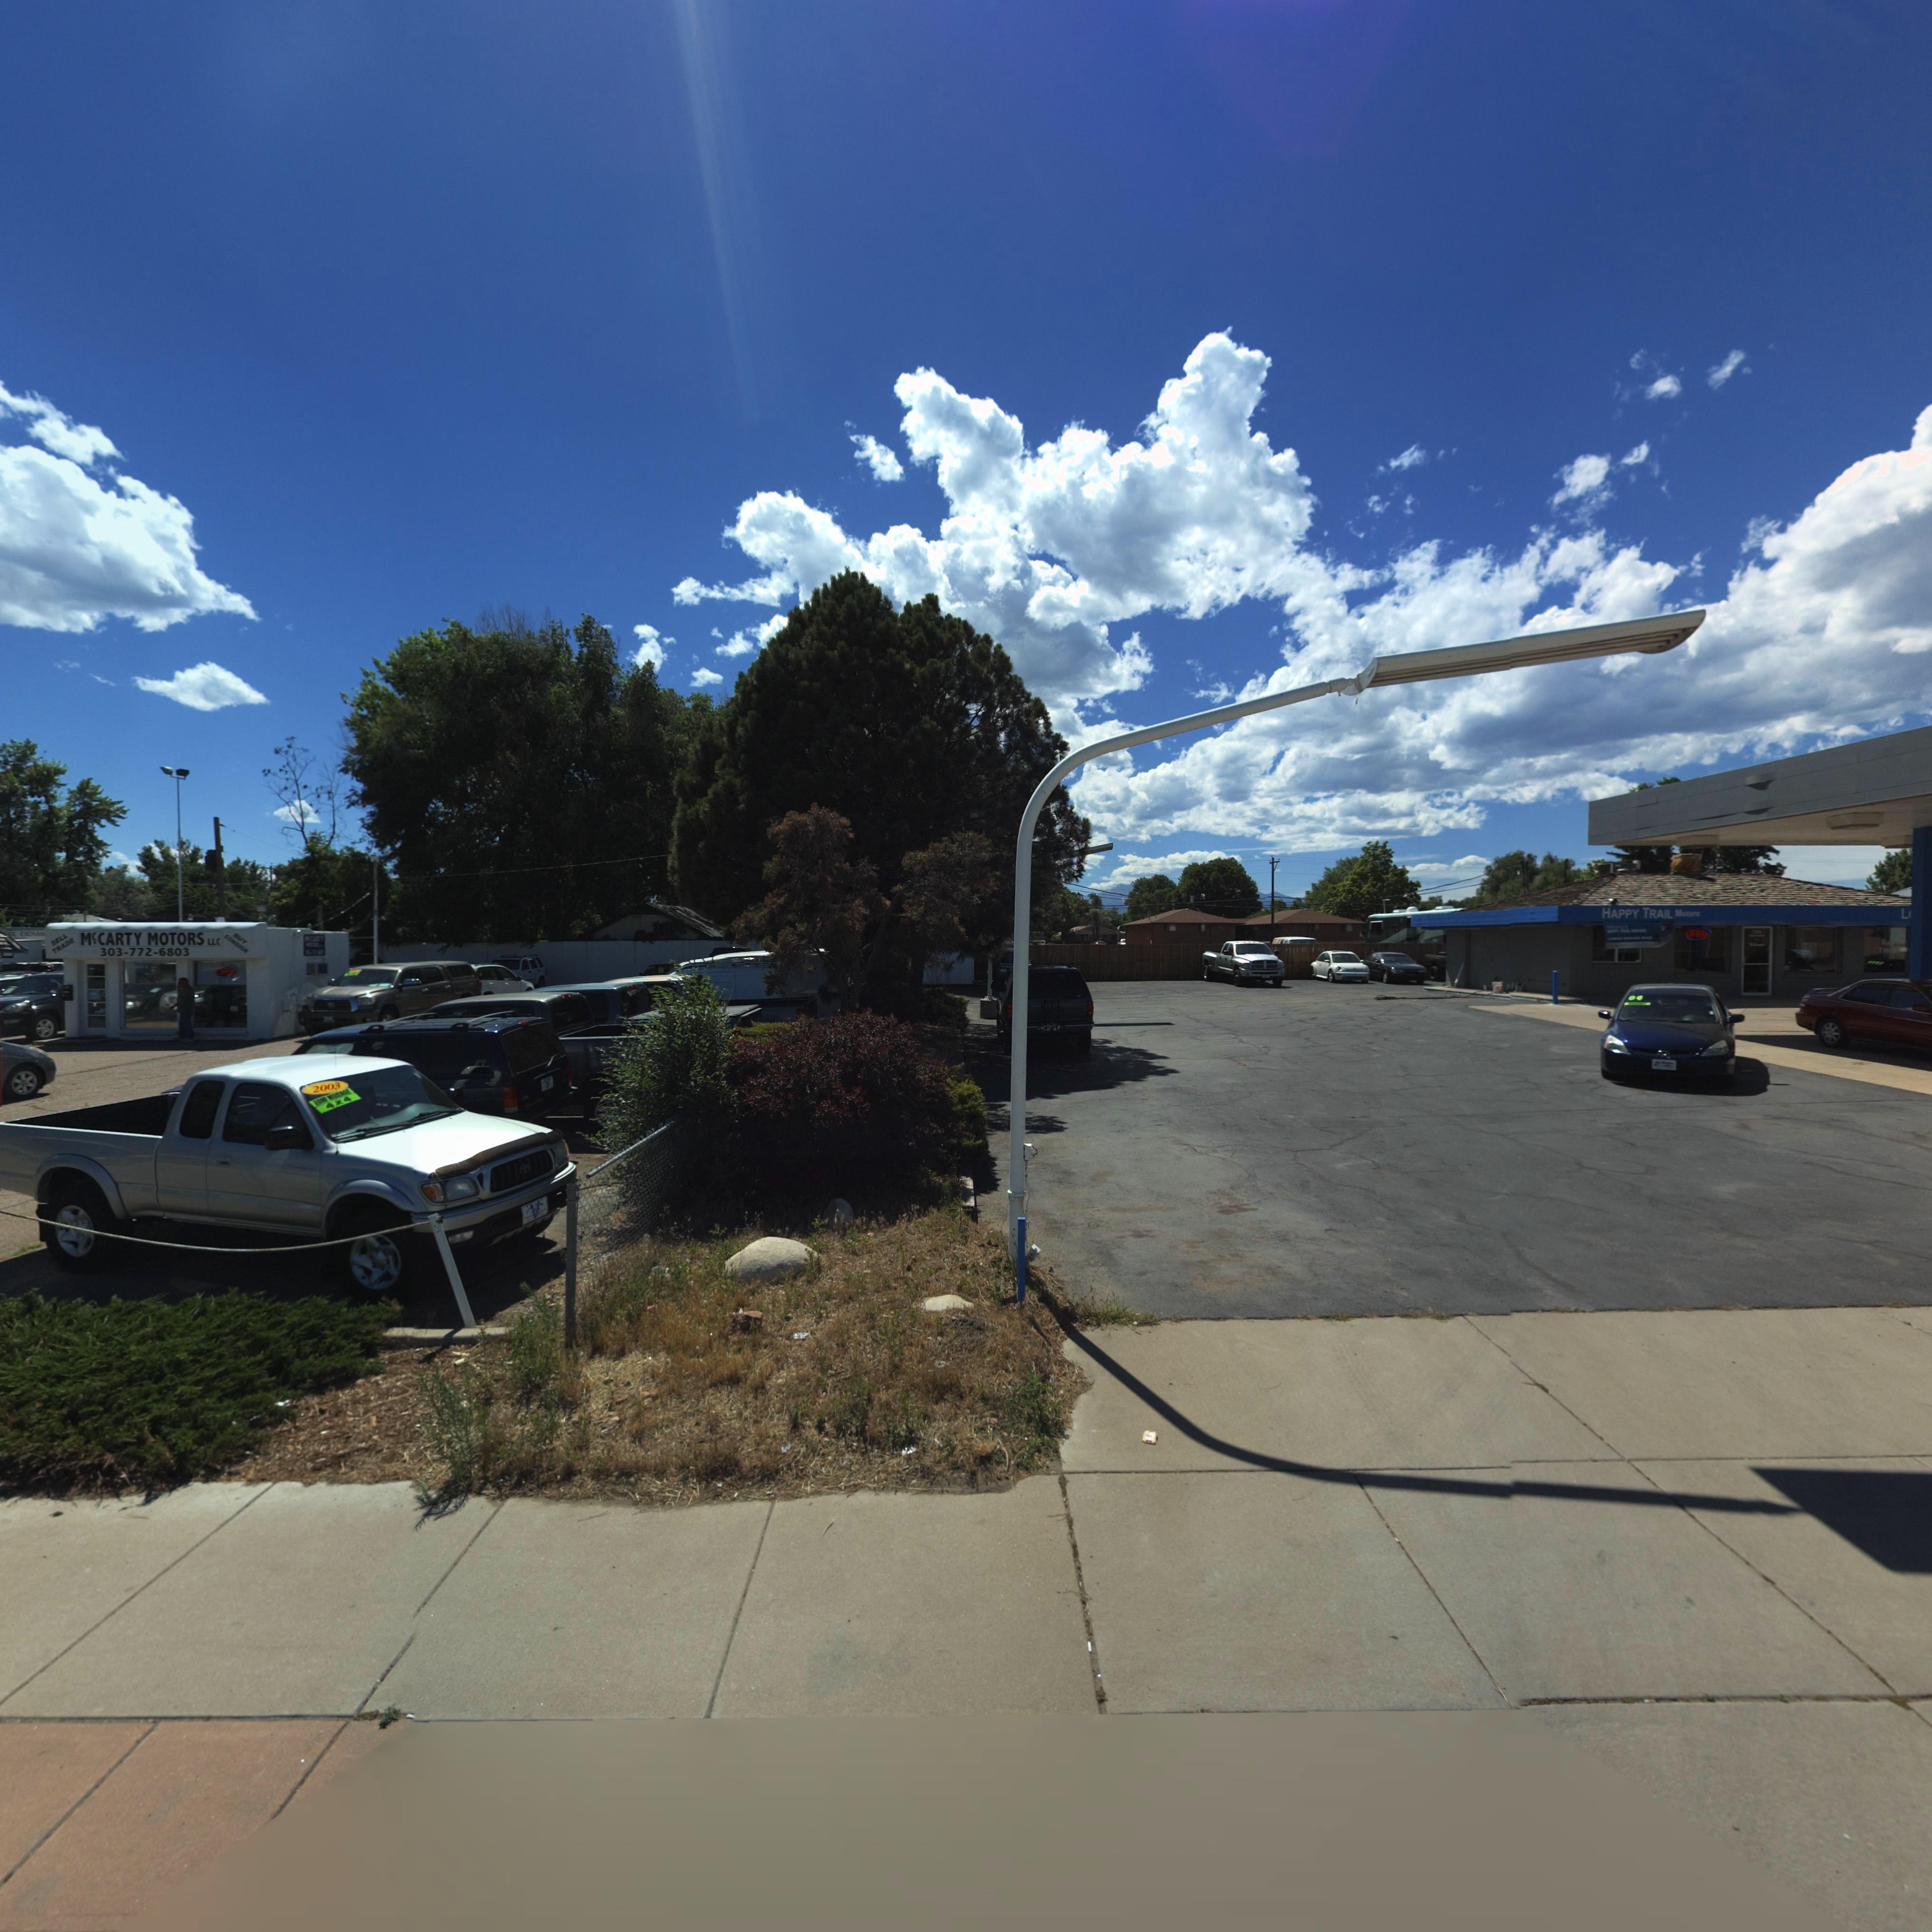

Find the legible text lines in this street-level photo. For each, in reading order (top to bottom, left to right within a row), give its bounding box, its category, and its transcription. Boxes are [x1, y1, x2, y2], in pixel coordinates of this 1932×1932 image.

[1602, 907, 1700, 918] BusinessName: HAPPY TRAIL Motors
[1901, 908, 1910, 919] BusinessName: L
[80, 932, 204, 946] BusinessName: McCARTY MOTORS
[208, 938, 221, 945] BusinessName: LLC